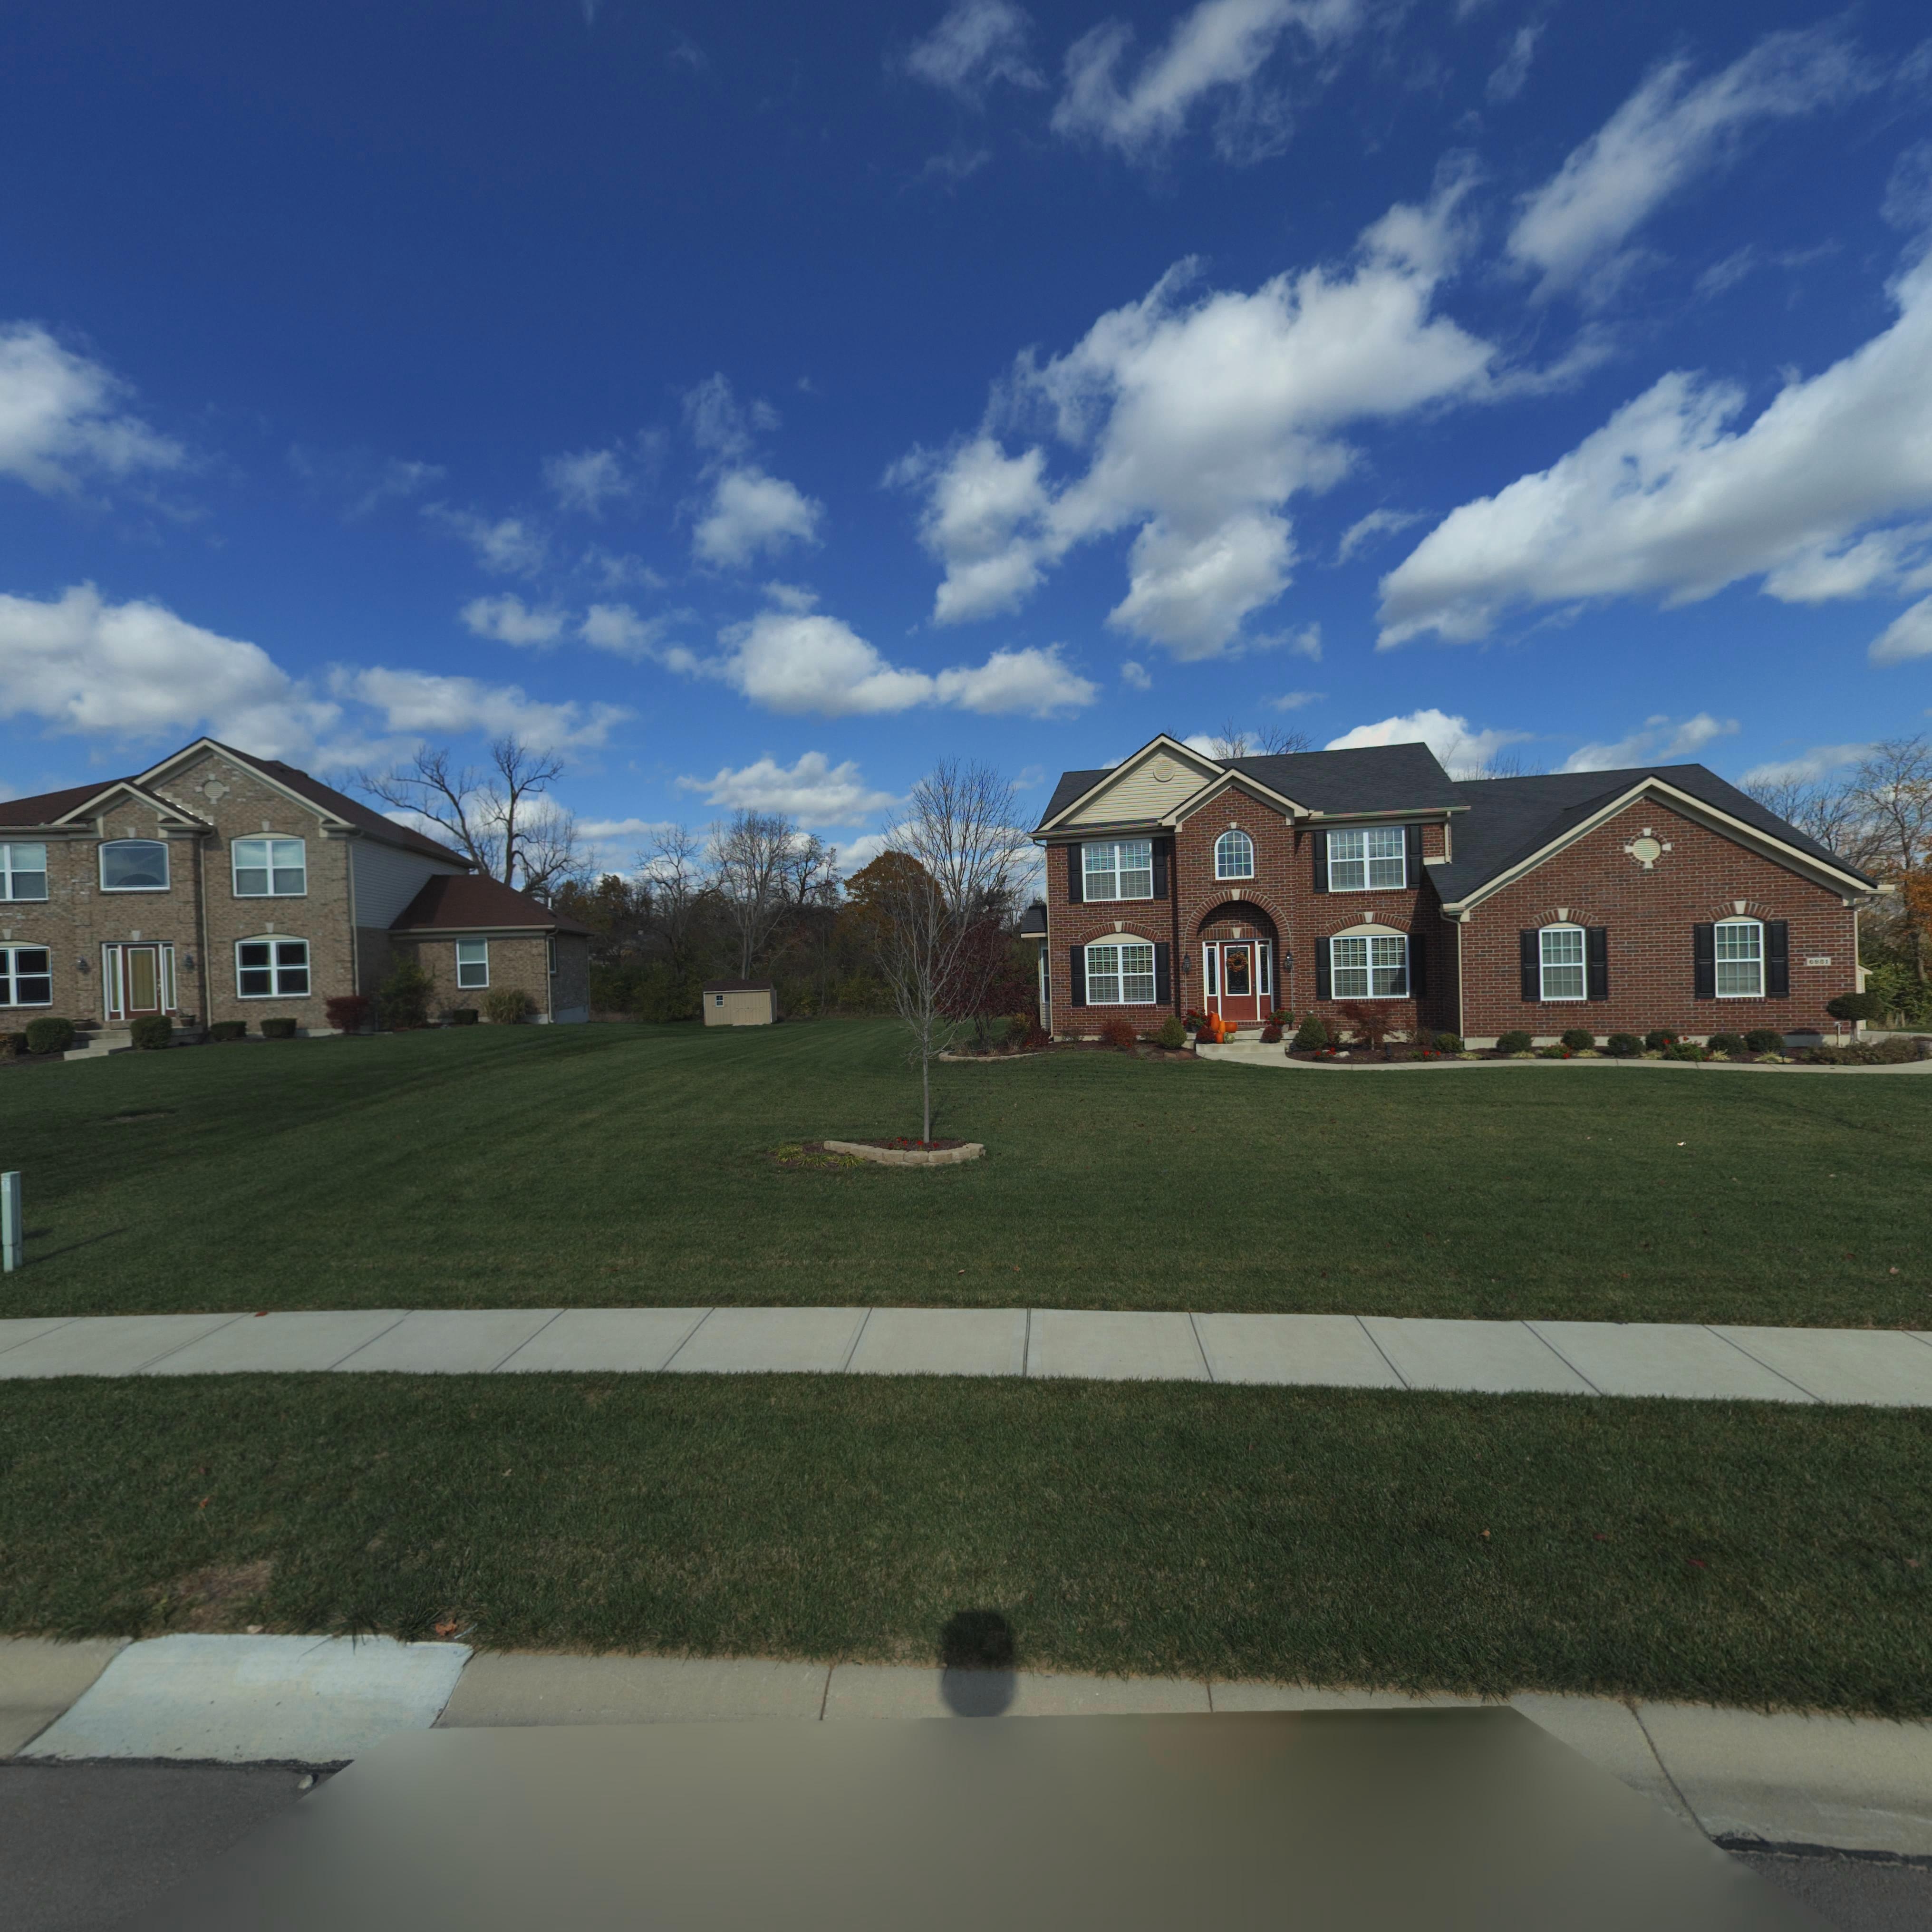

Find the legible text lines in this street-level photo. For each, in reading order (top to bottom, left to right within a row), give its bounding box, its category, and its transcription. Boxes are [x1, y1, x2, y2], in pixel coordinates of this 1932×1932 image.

[1809, 958, 1829, 965] StreetNumber: 69*1